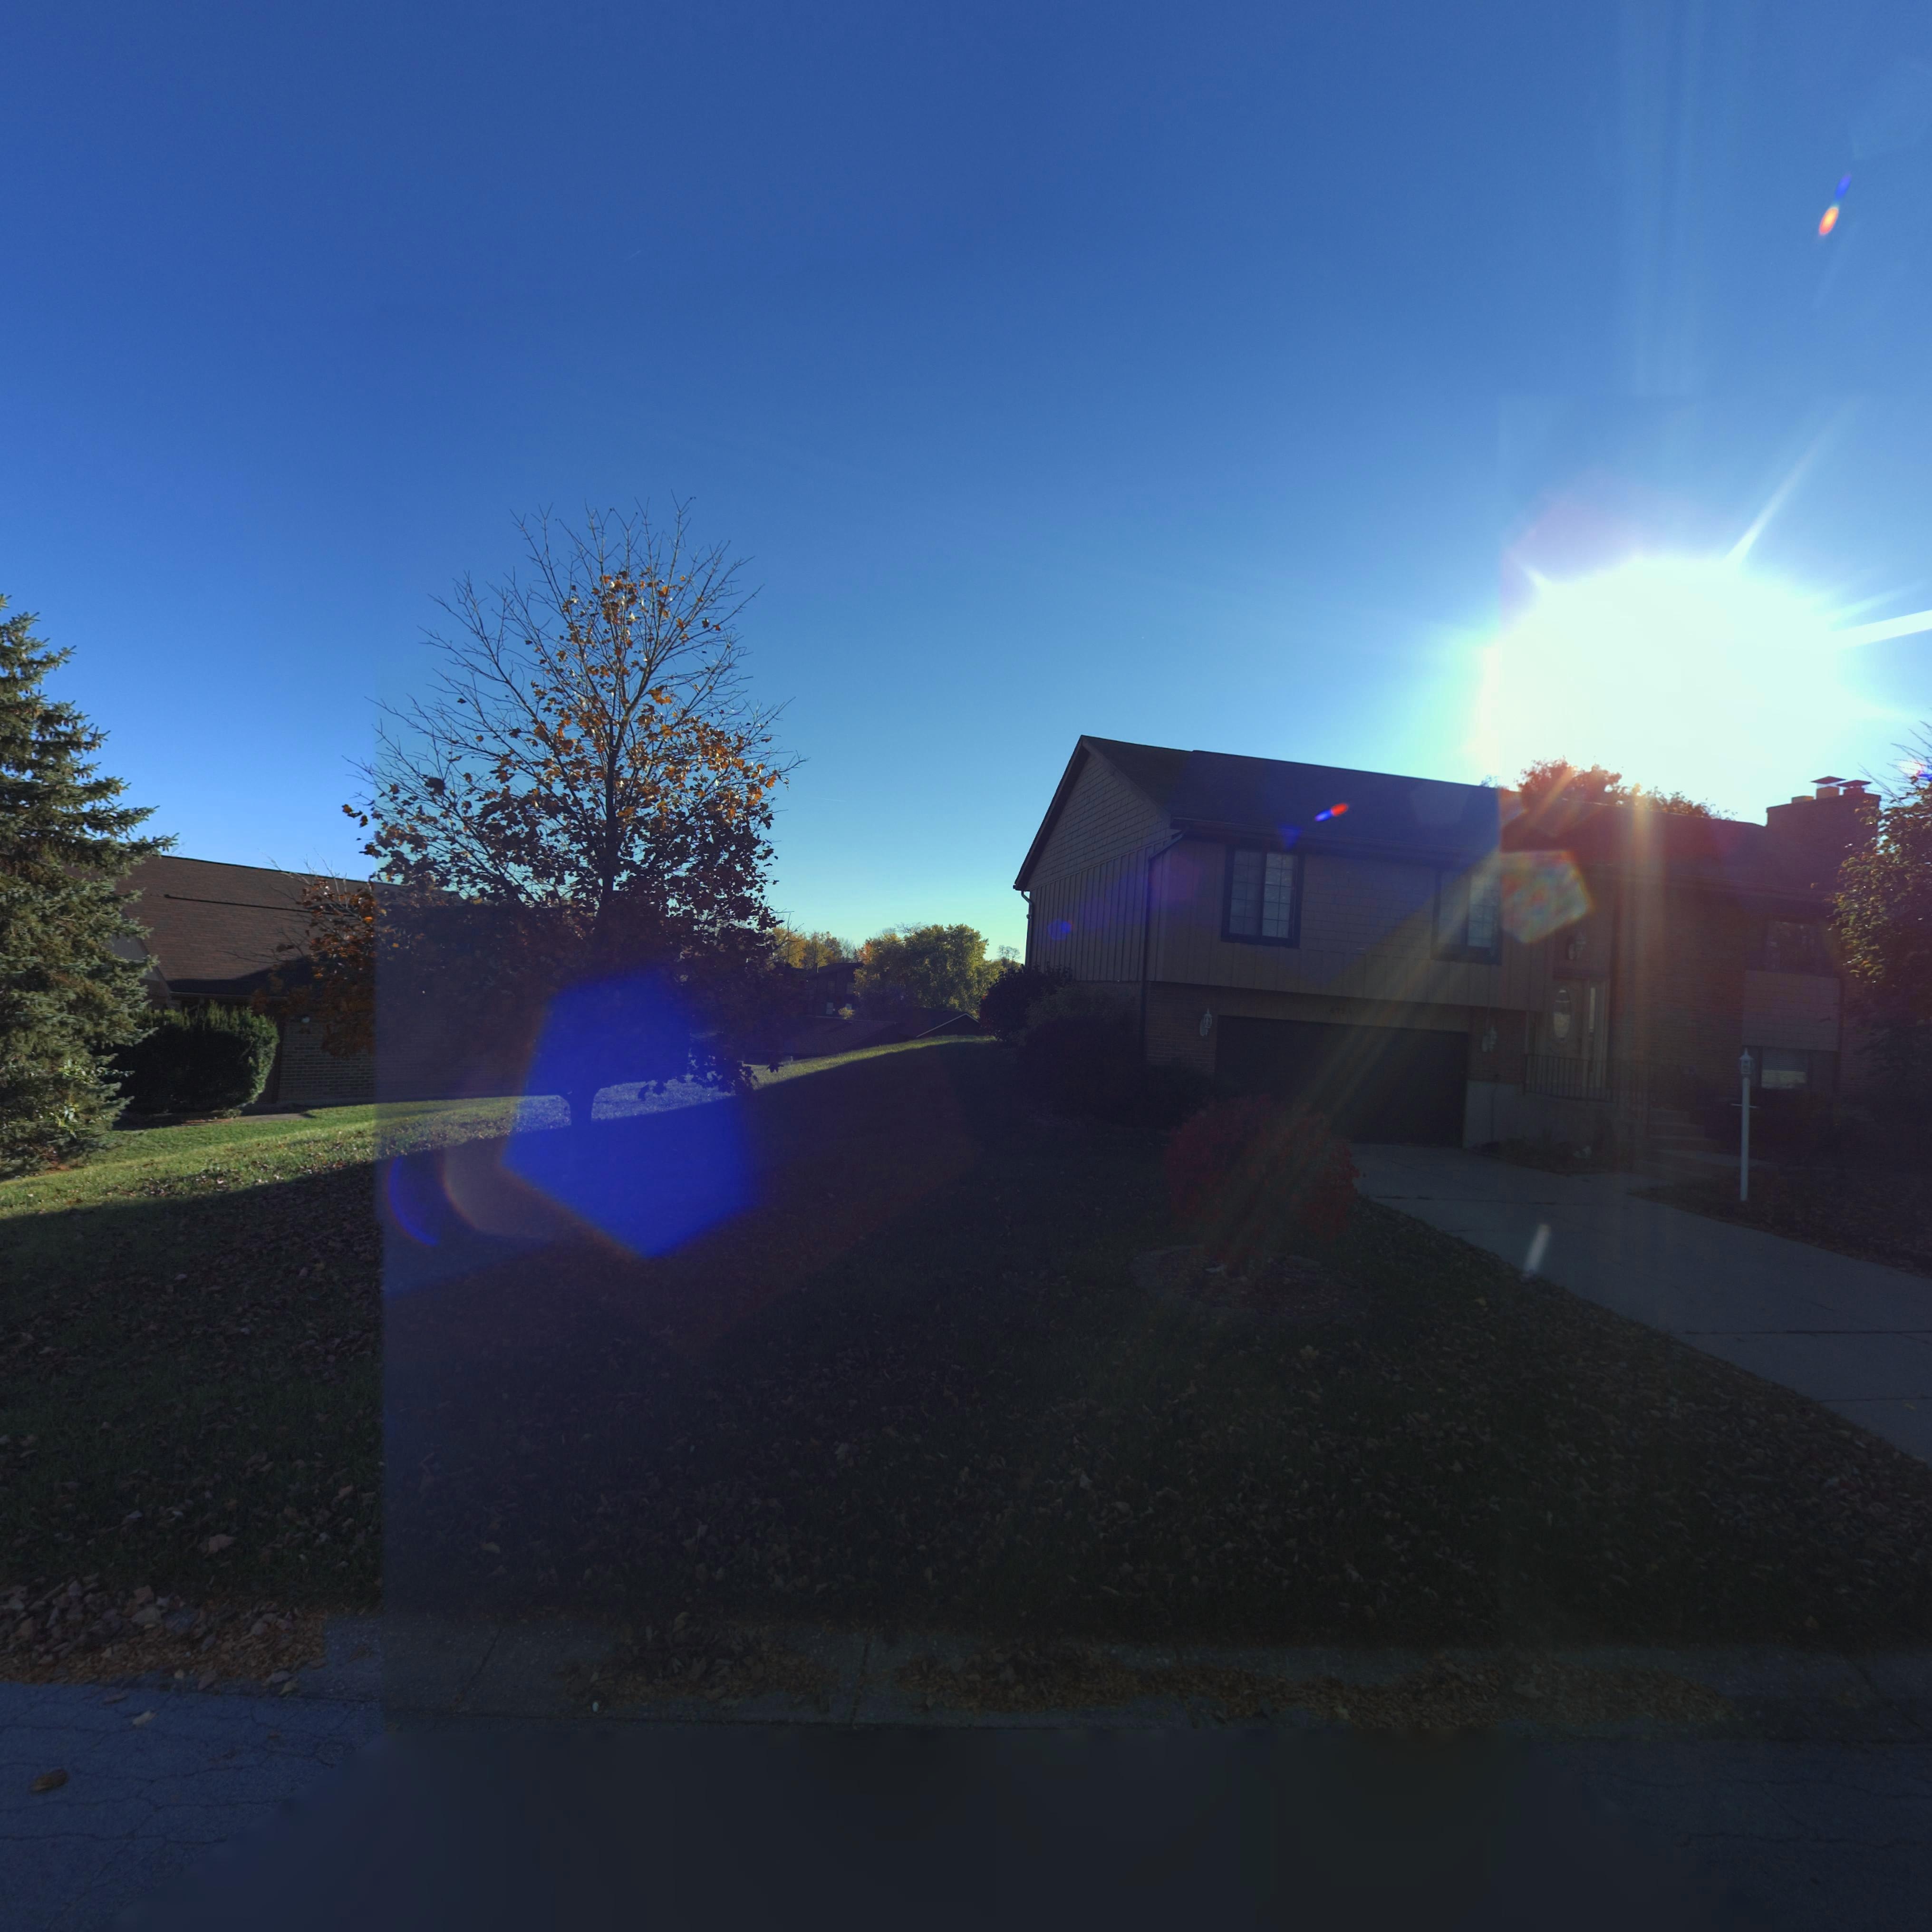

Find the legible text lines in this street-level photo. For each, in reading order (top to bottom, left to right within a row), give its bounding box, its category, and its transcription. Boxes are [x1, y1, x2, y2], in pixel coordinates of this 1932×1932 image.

[1327, 1006, 1353, 1015] StreetNumber: *7**